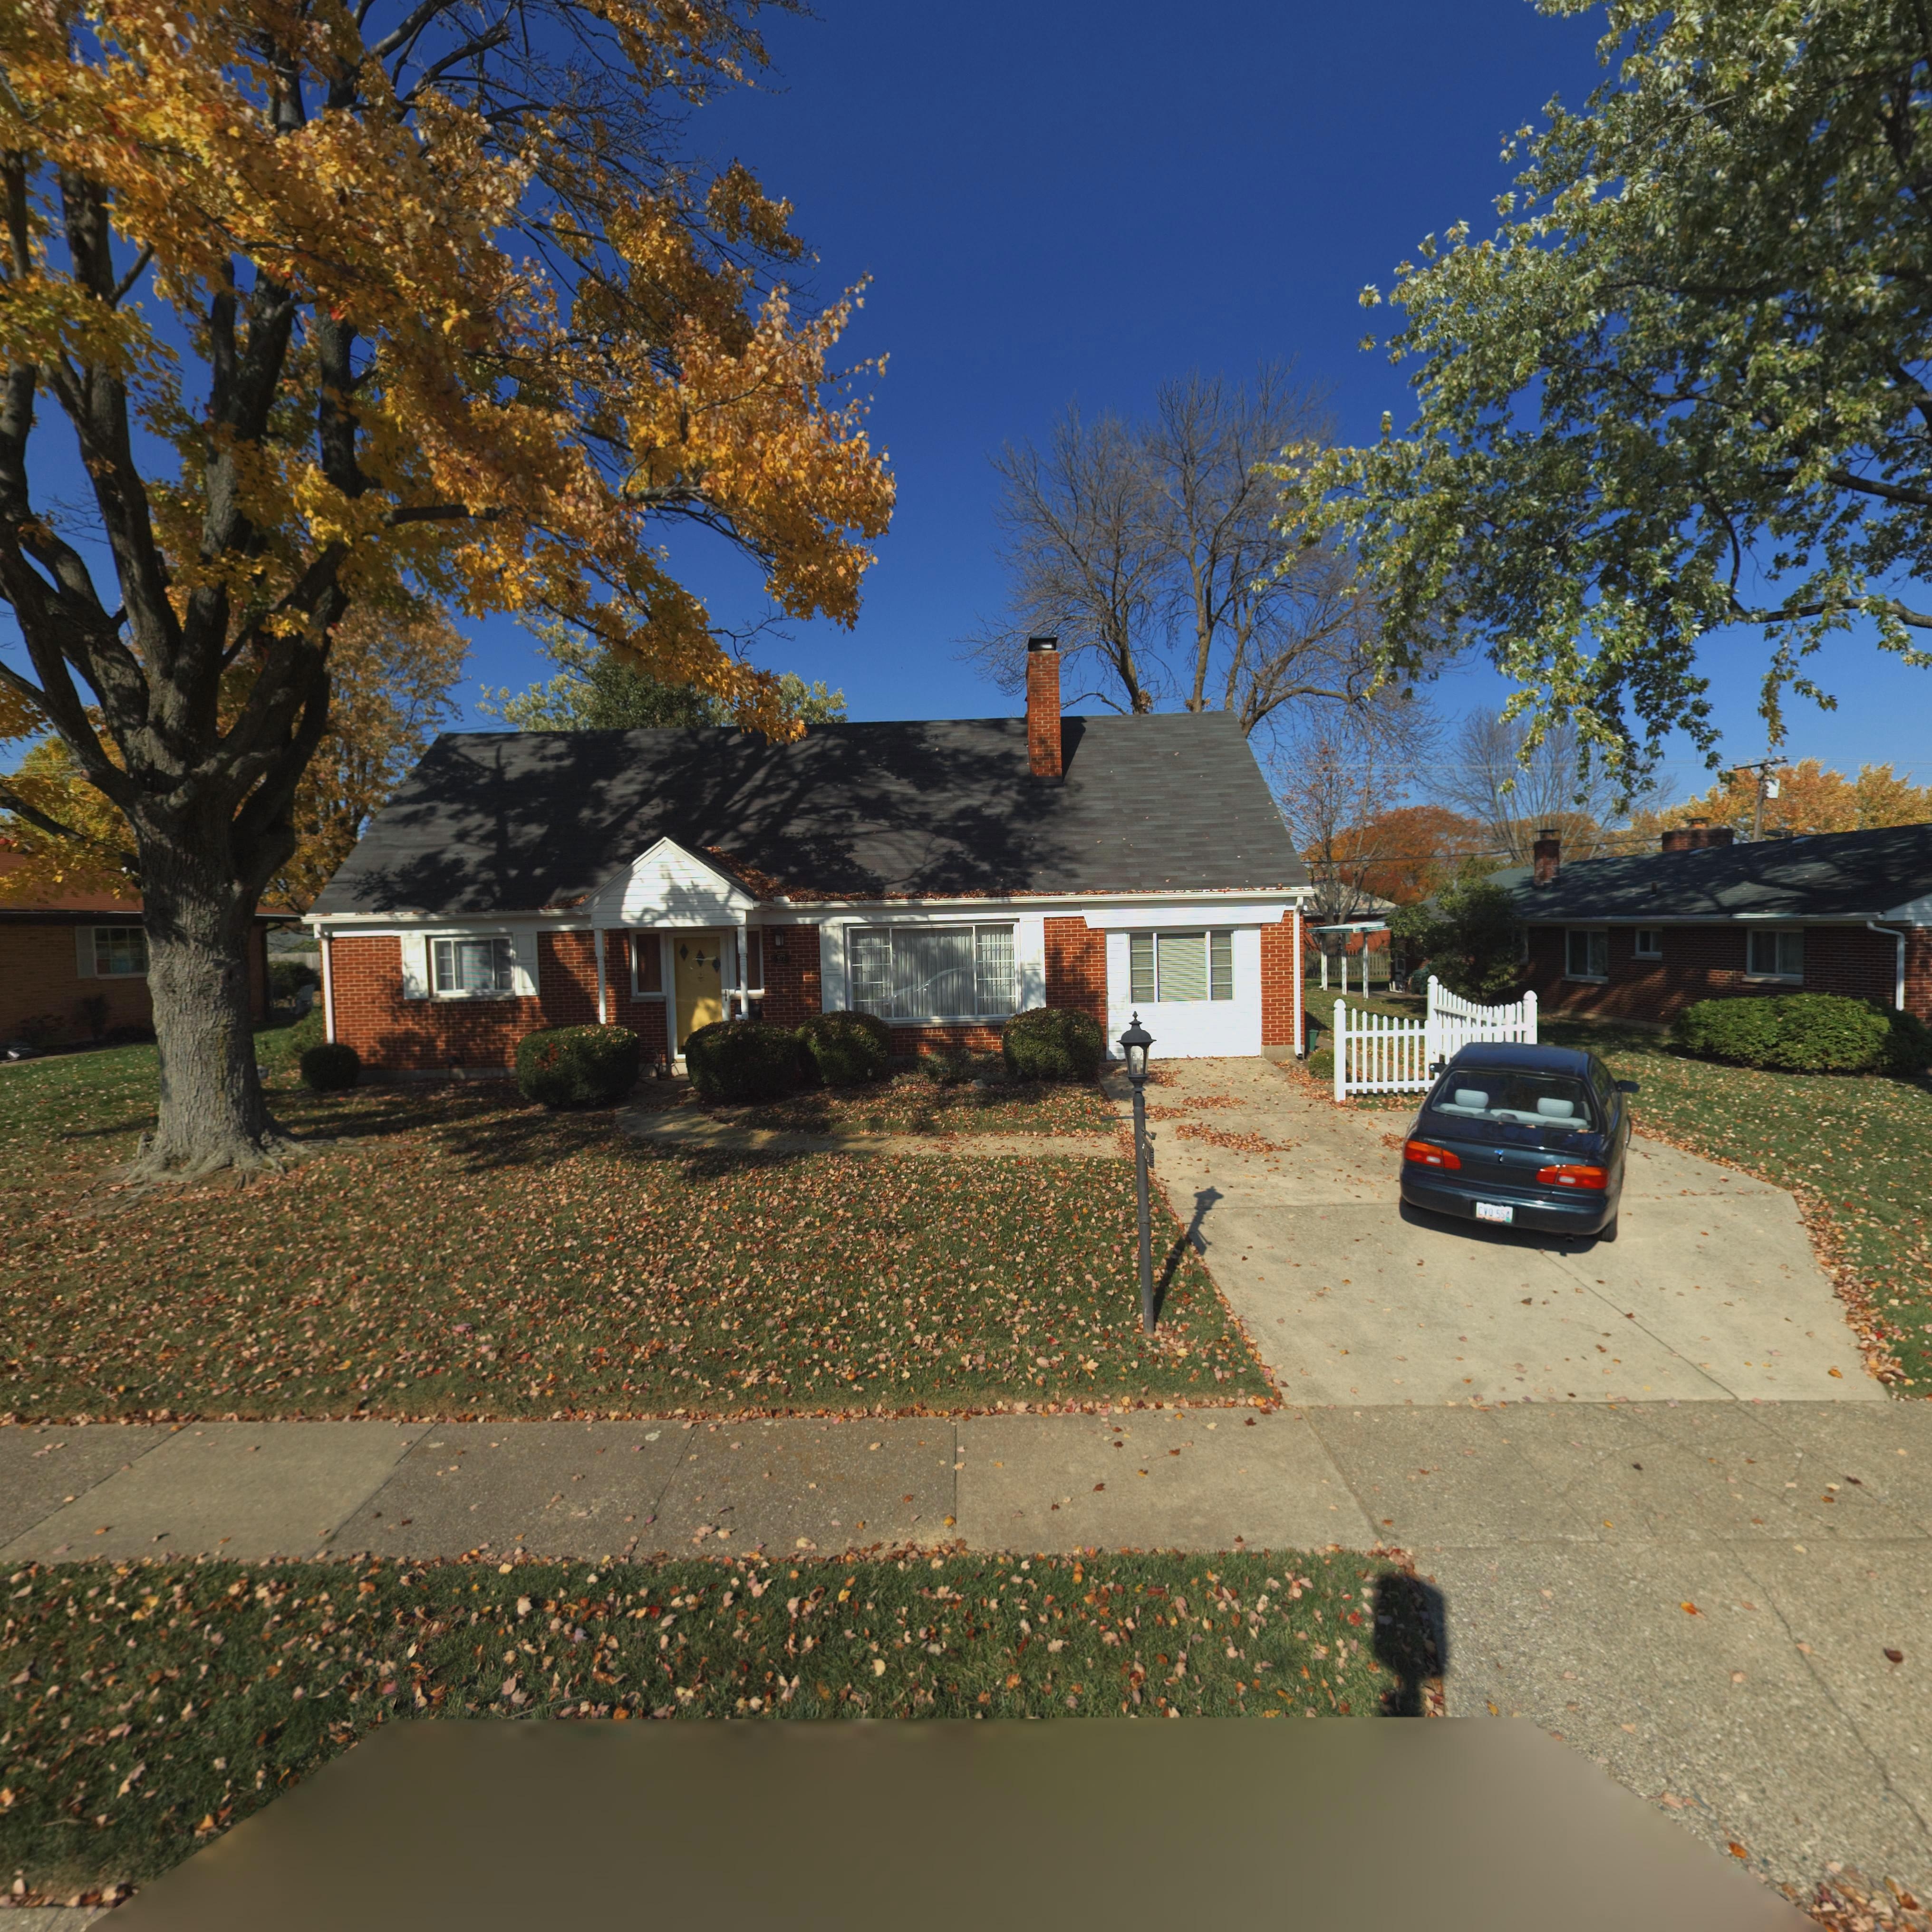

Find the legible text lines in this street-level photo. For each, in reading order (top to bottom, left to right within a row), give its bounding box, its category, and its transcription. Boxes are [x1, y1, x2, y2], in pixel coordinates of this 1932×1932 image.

[1477, 1205, 1511, 1221] None: C** 55*